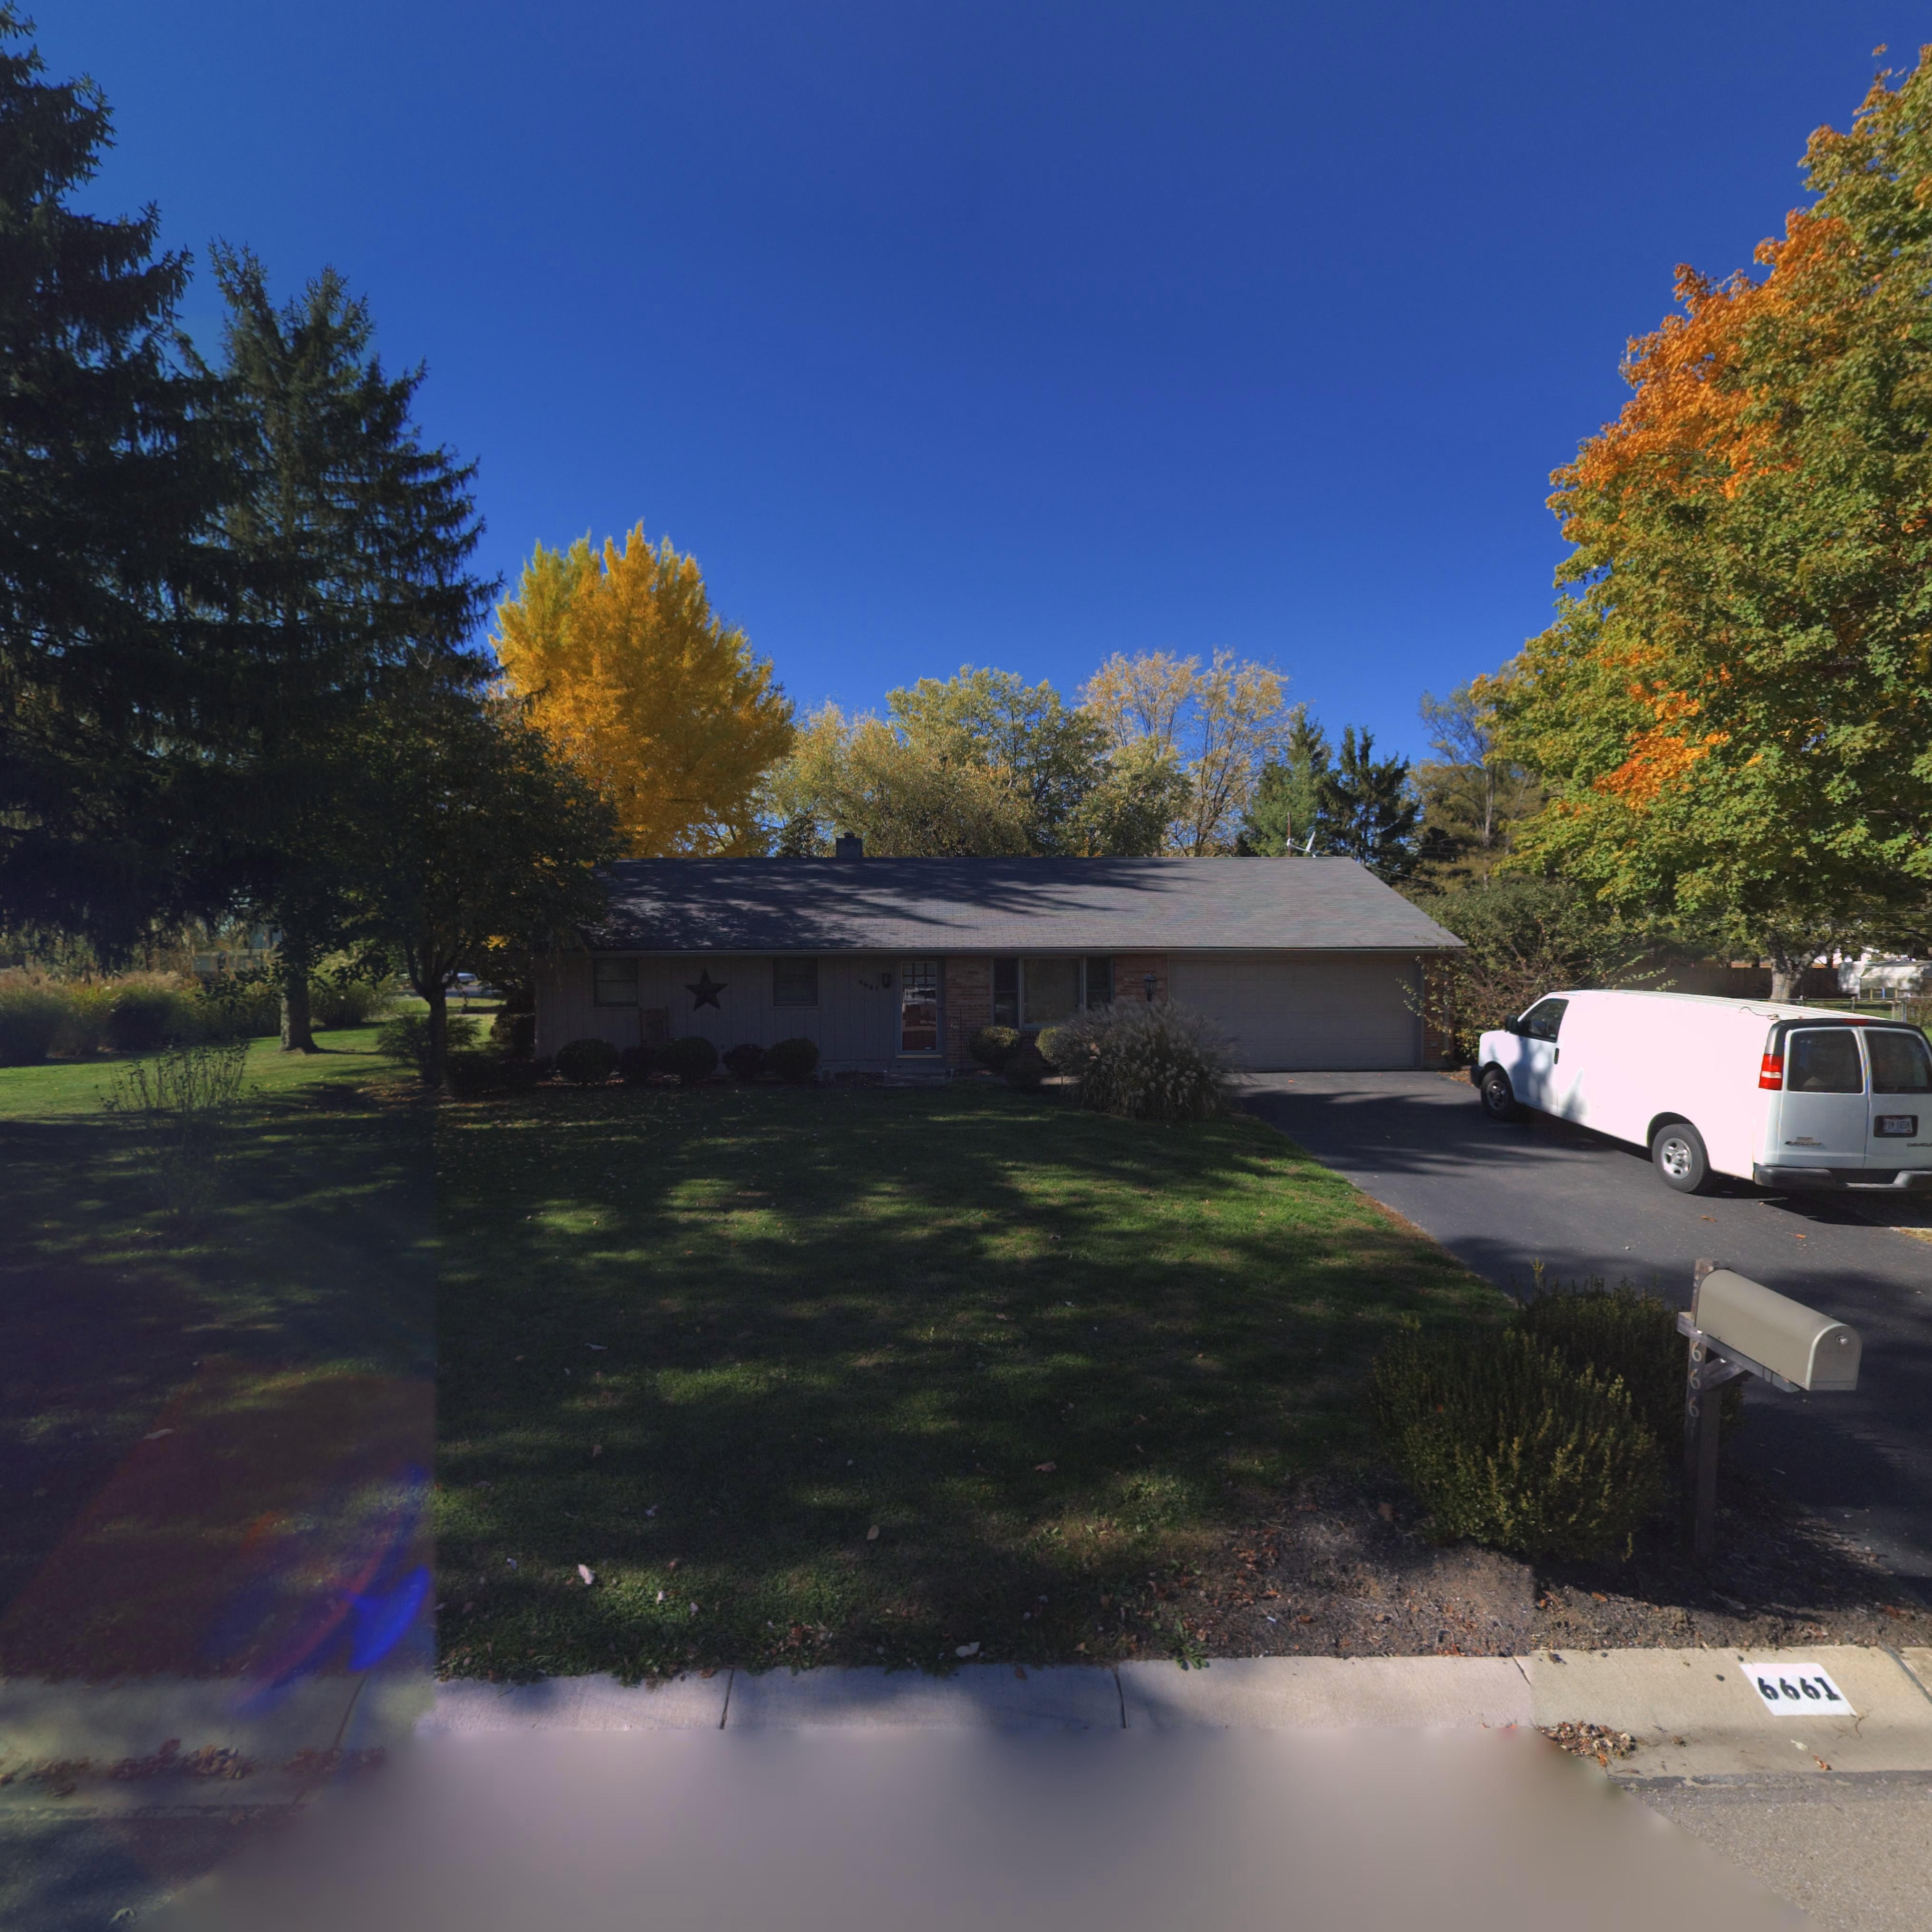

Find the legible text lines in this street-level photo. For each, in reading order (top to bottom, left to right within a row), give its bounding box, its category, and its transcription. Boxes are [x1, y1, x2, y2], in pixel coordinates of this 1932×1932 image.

[858, 978, 879, 992] StreetNumber: 6661
[1883, 1120, 1912, 1130] None: PI**1658
[1686, 1338, 1704, 1442] StreetNumber: 666
[1756, 1676, 1844, 1701] StreetNumber: 6661